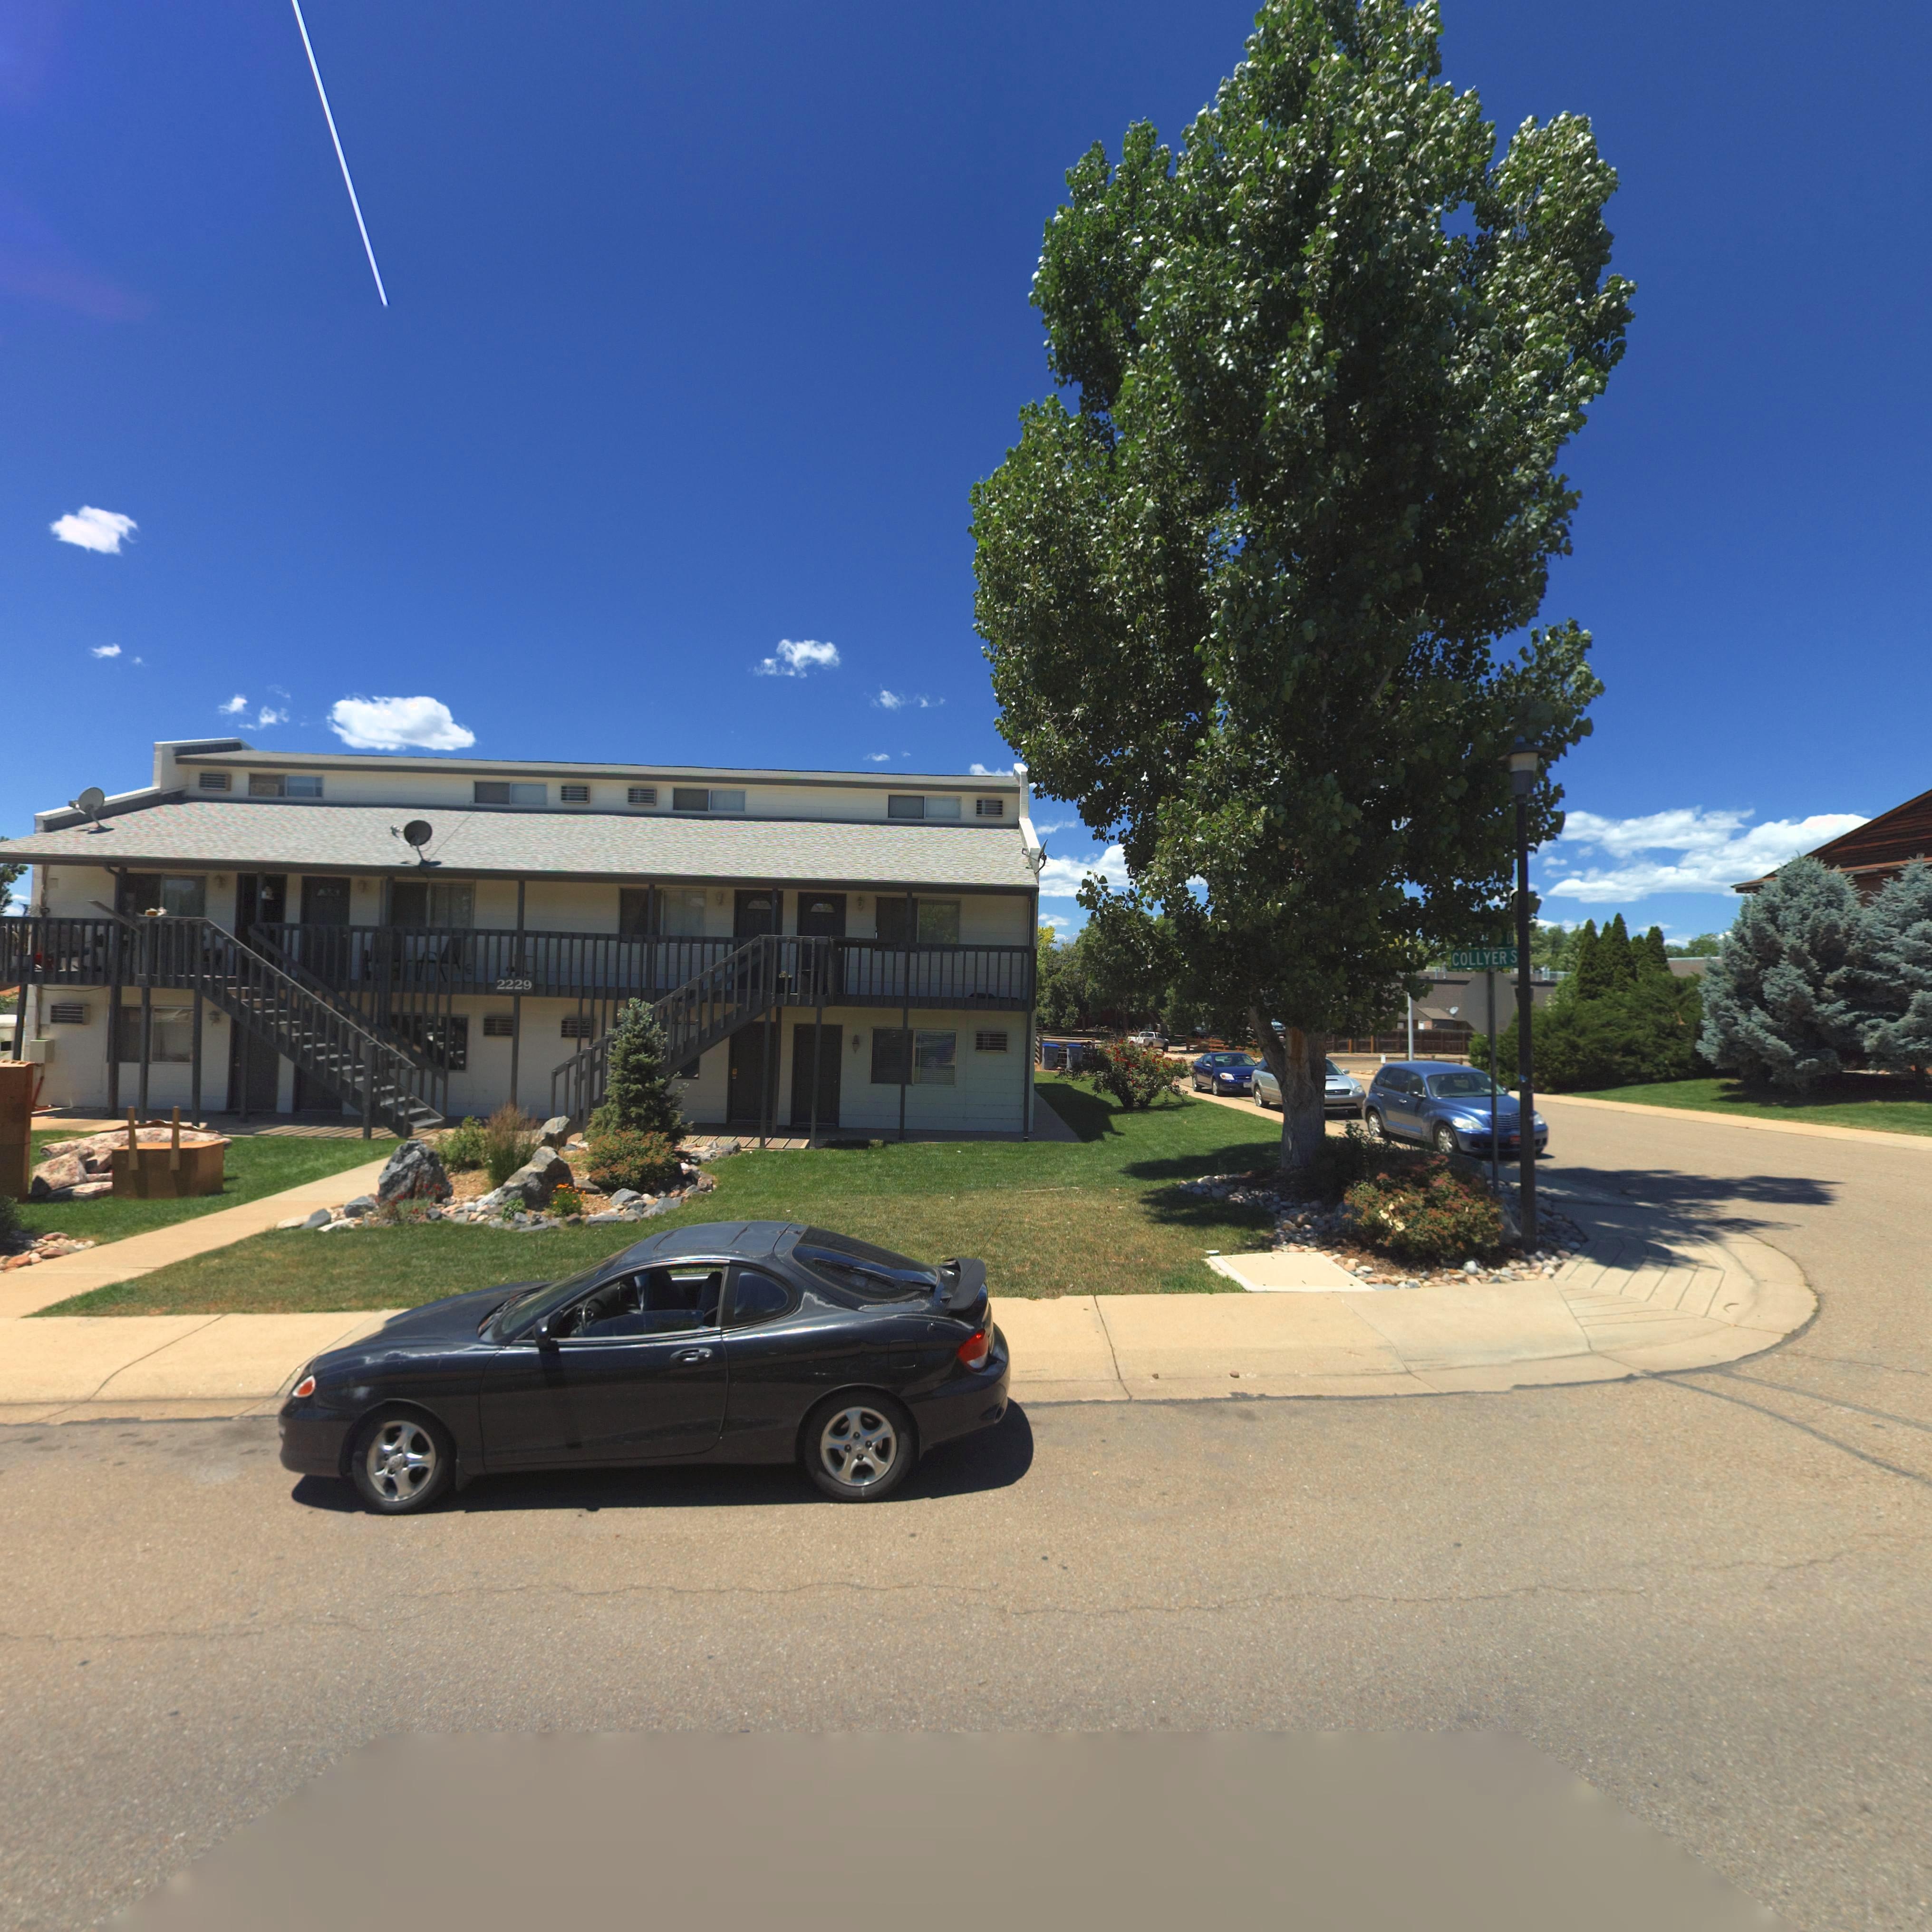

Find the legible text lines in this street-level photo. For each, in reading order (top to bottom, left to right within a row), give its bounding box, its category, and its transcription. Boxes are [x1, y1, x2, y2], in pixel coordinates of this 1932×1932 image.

[1451, 949, 1518, 966] StreetName: COLLYER S*
[496, 979, 532, 990] StreetNumber: 2229